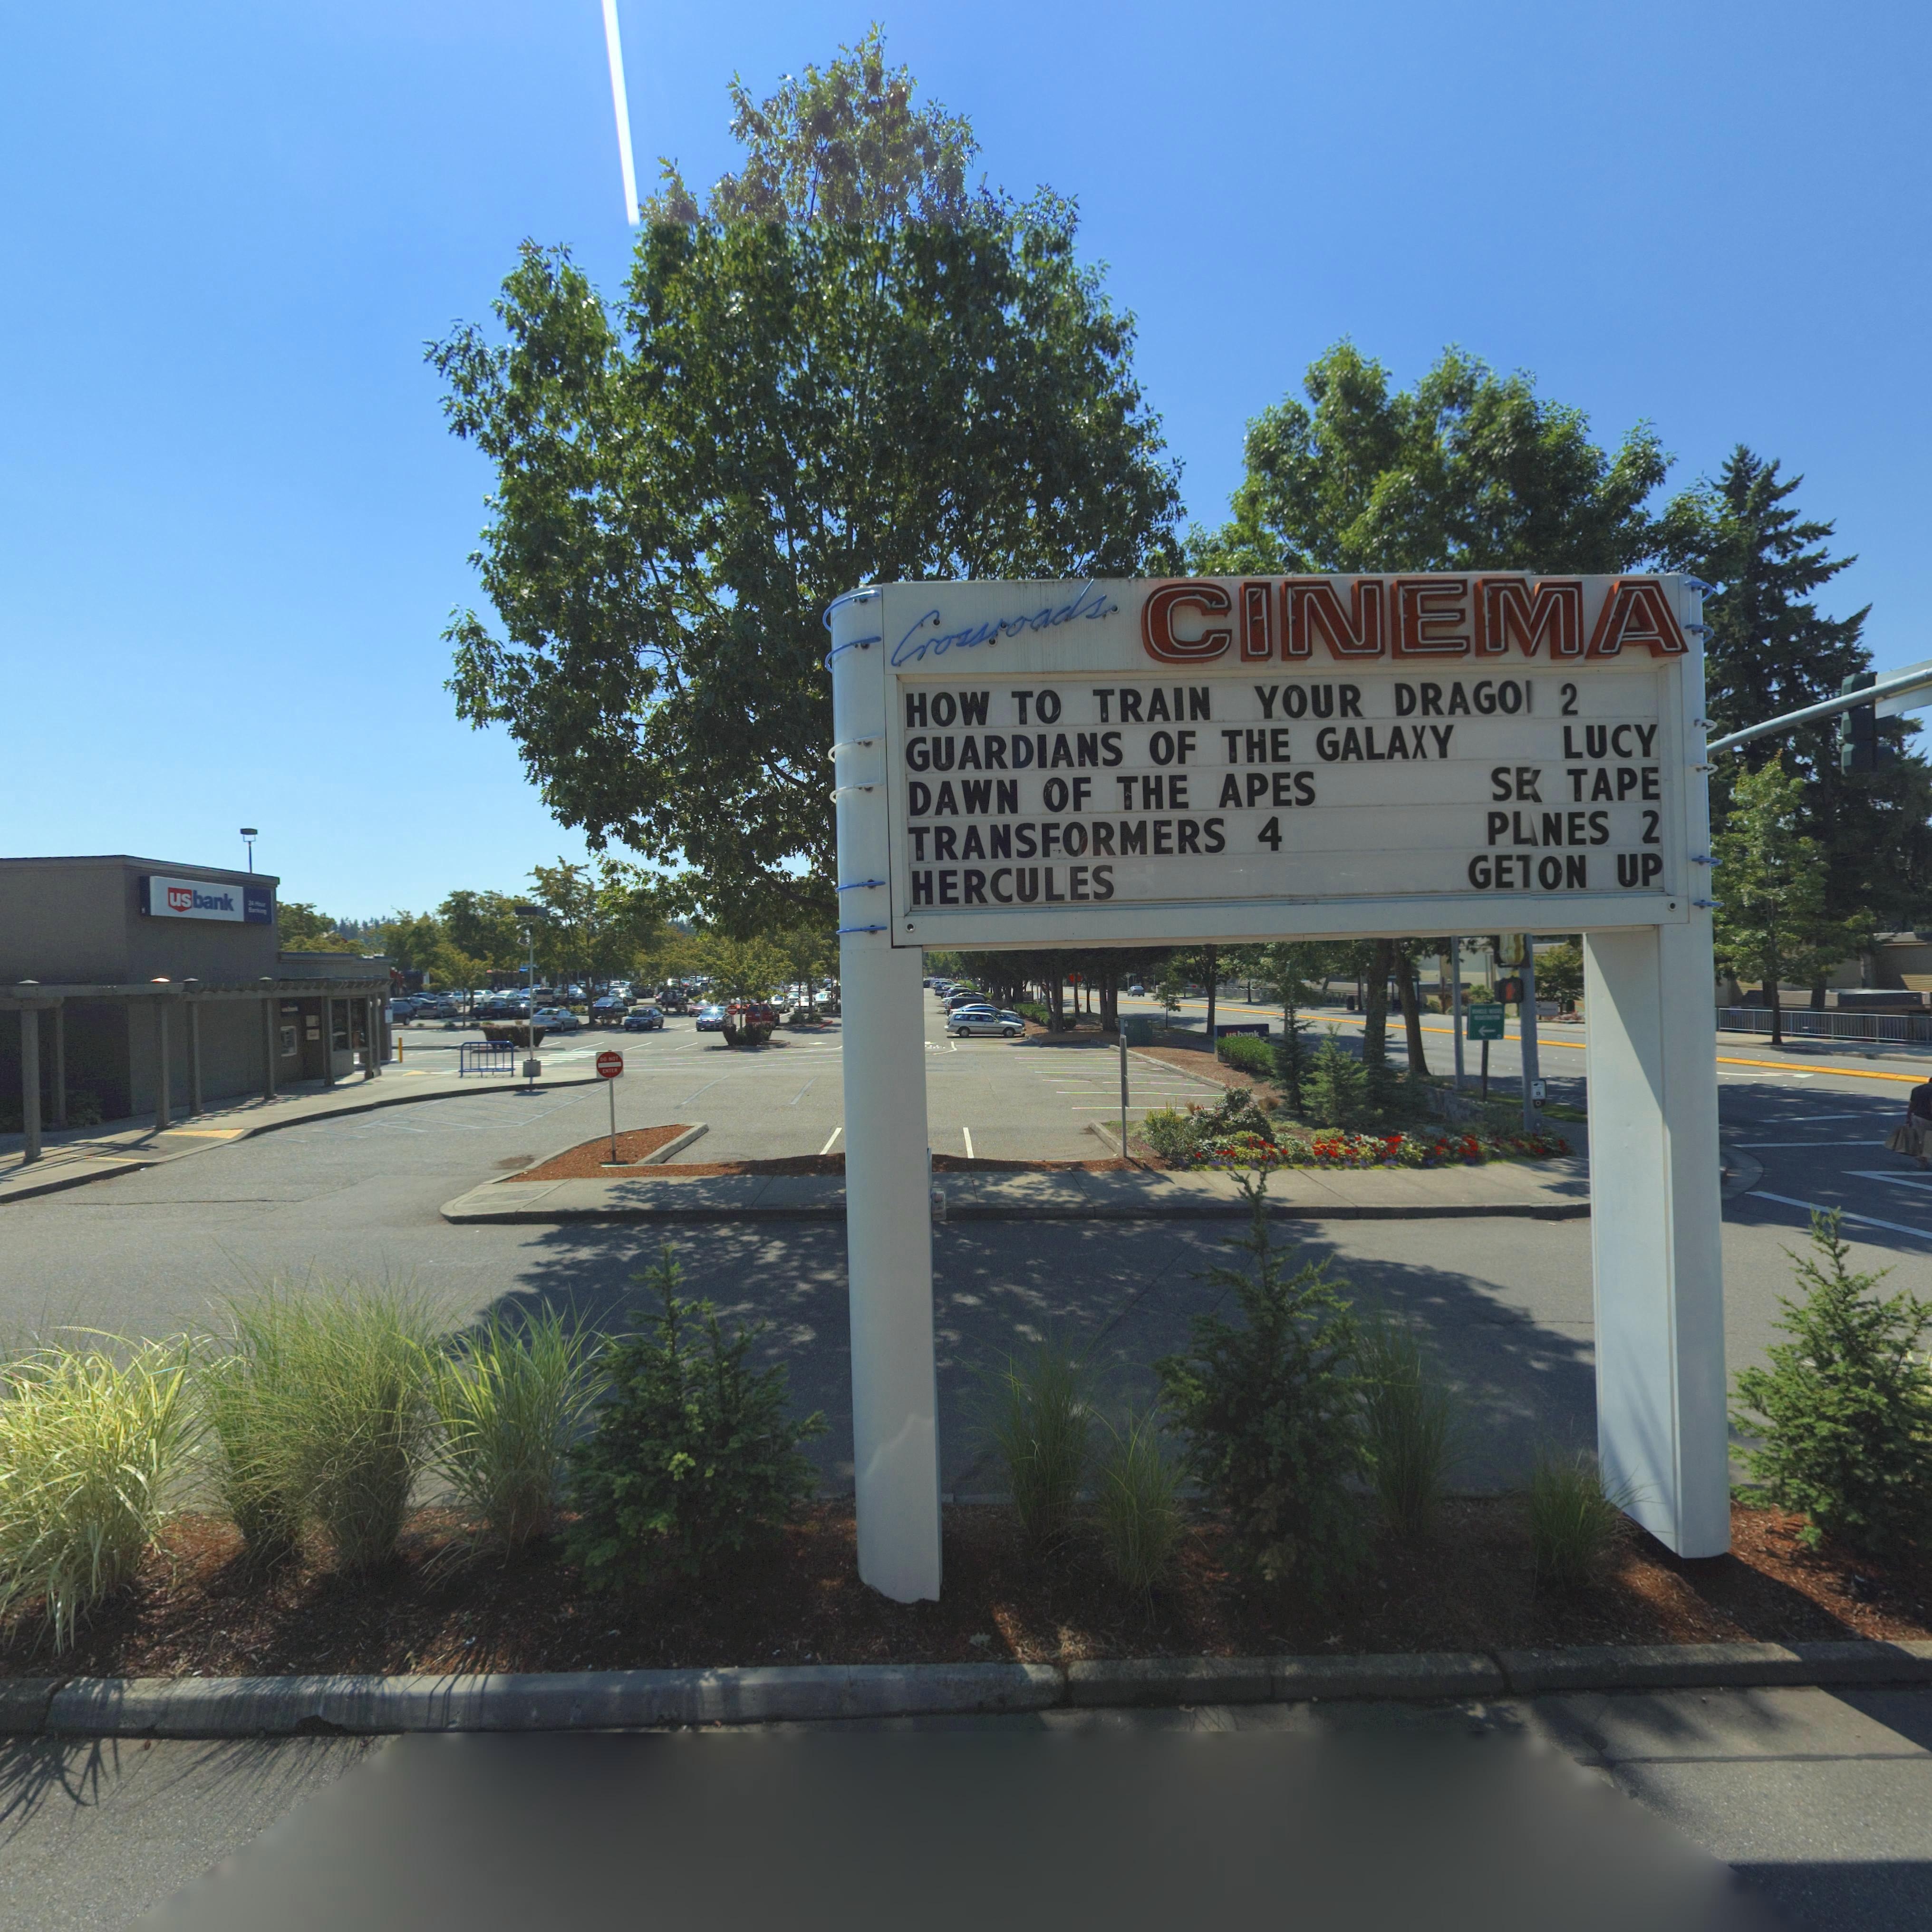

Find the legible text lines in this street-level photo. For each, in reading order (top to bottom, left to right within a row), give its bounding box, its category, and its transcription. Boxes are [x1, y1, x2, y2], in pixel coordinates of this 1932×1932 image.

[1139, 576, 1695, 662] BusinessName: CINEMA
[169, 889, 235, 912] BusinessName: usbank
[1227, 1029, 1259, 1038] BusinessName: usb**k